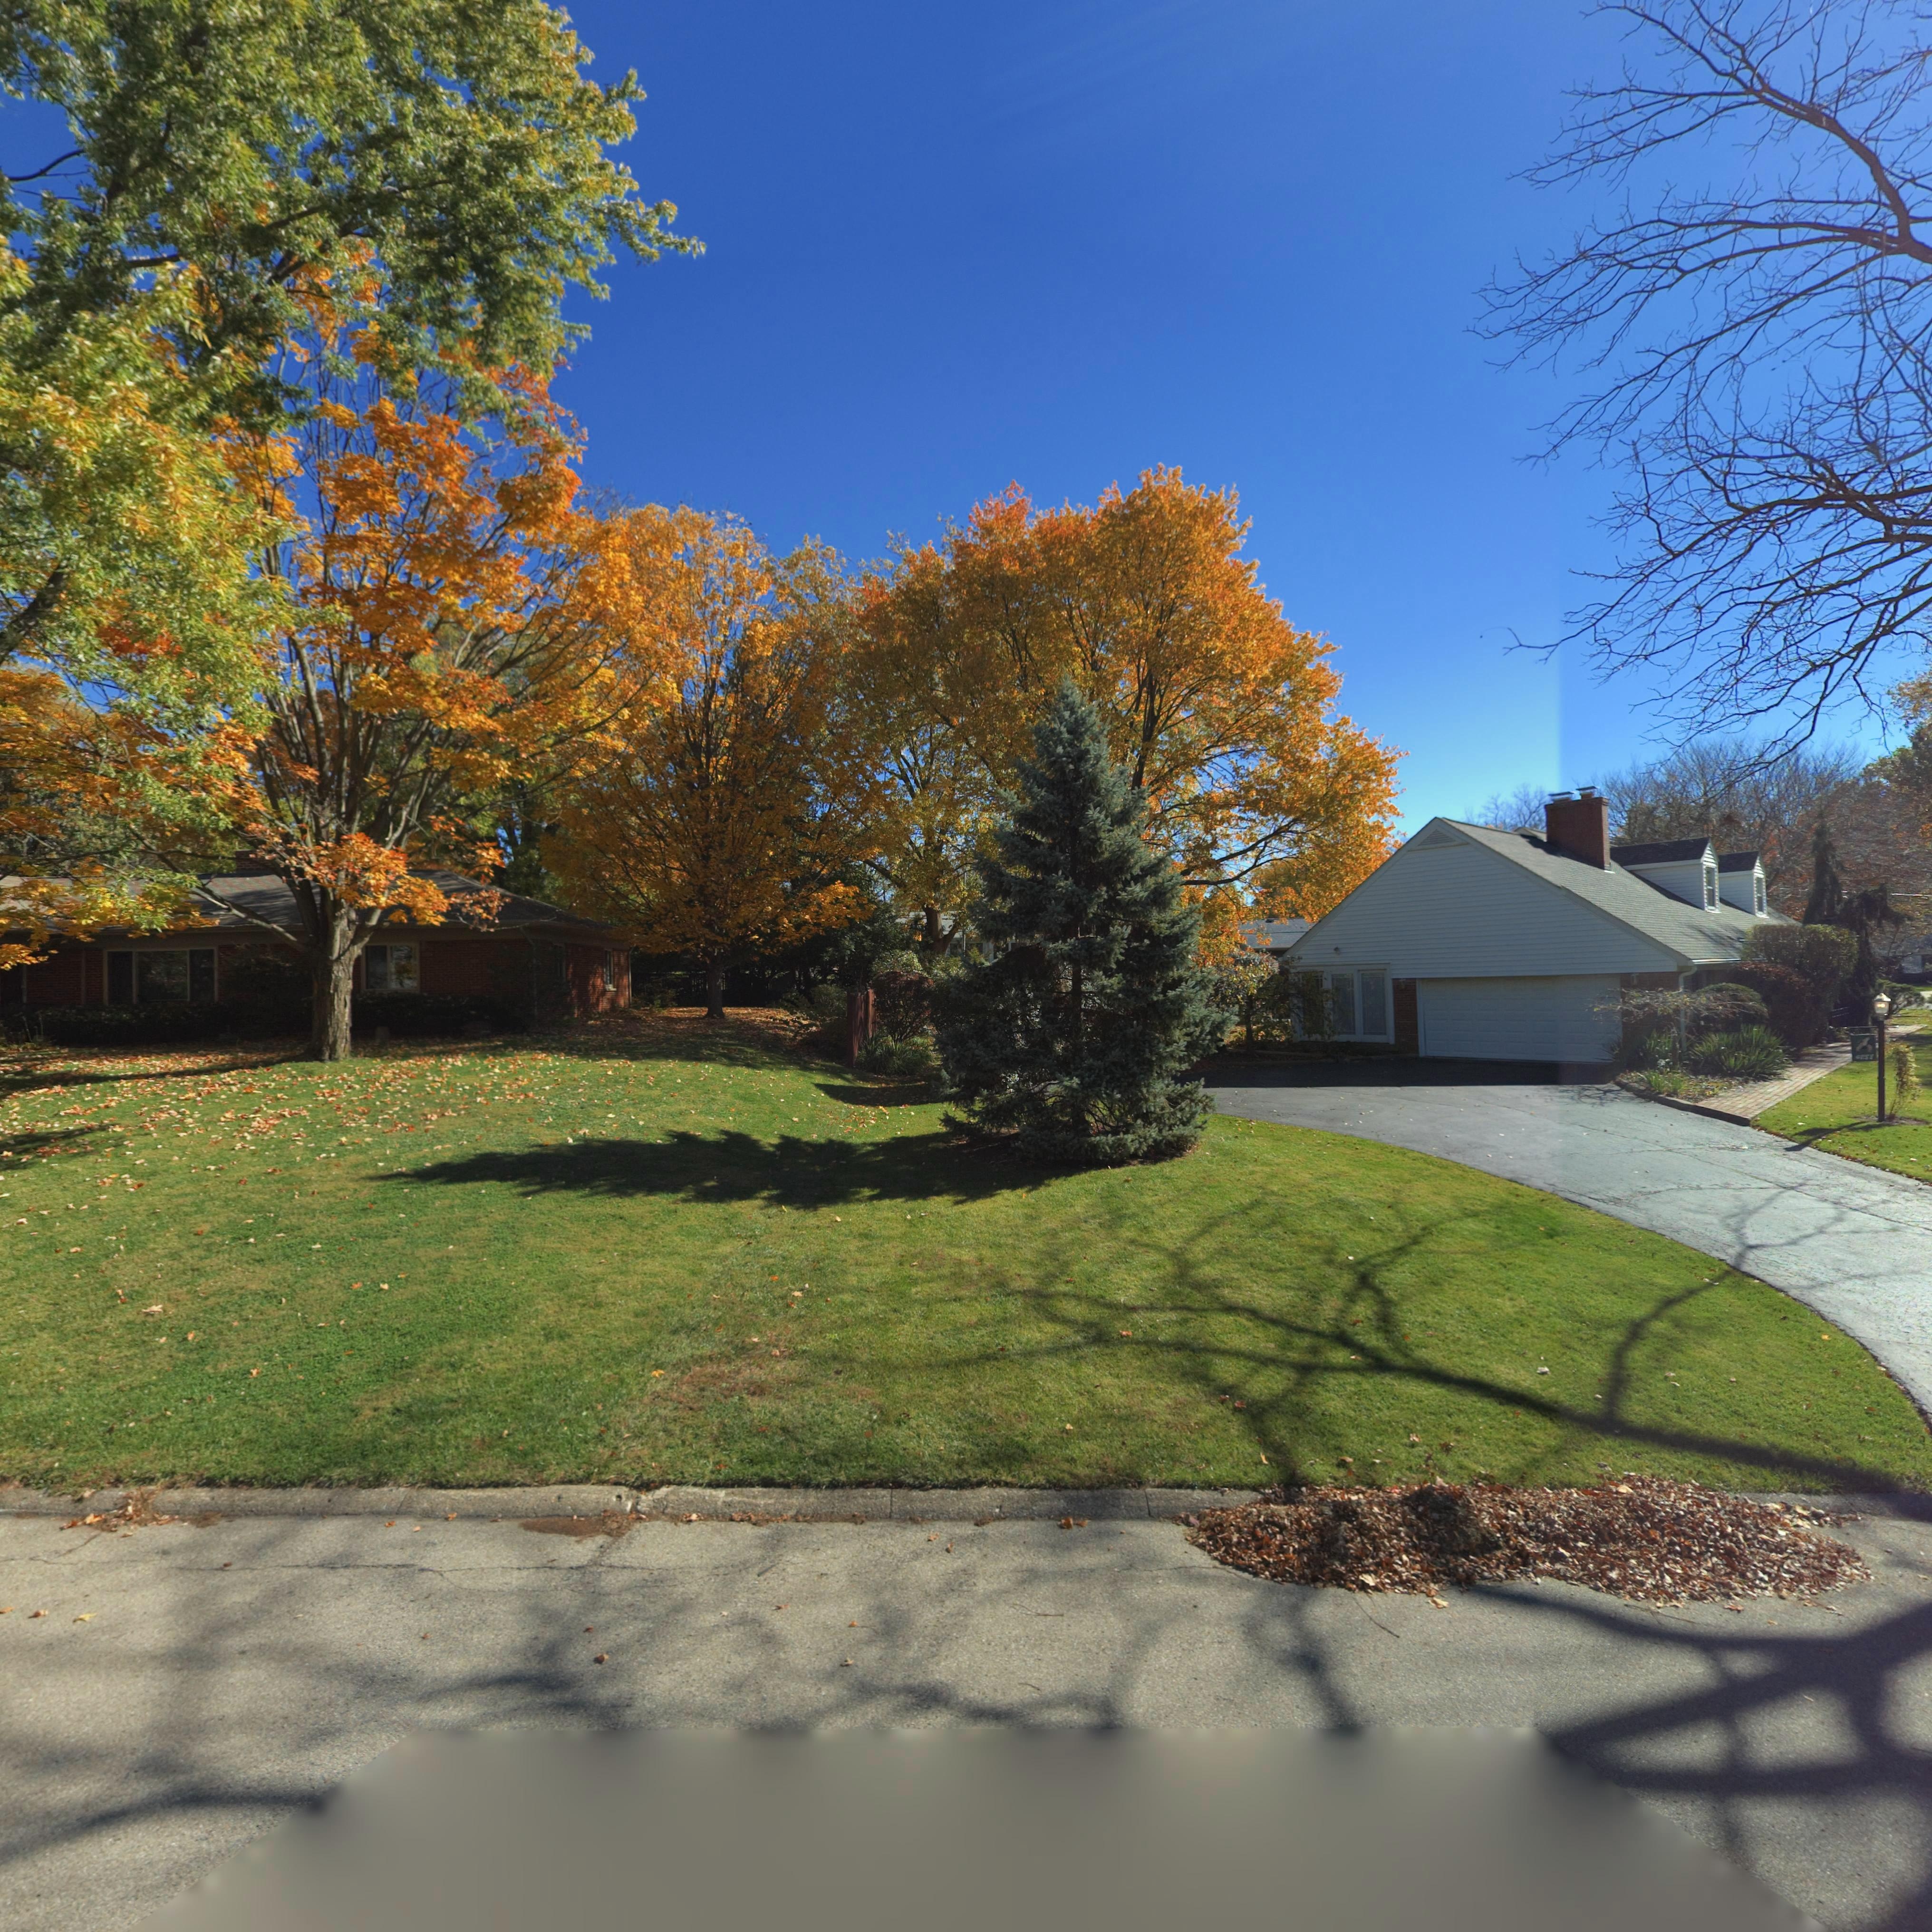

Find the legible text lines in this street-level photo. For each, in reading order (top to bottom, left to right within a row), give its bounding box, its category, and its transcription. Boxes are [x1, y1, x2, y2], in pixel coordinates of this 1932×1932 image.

[1855, 1054, 1875, 1060] StreetNumber: *255